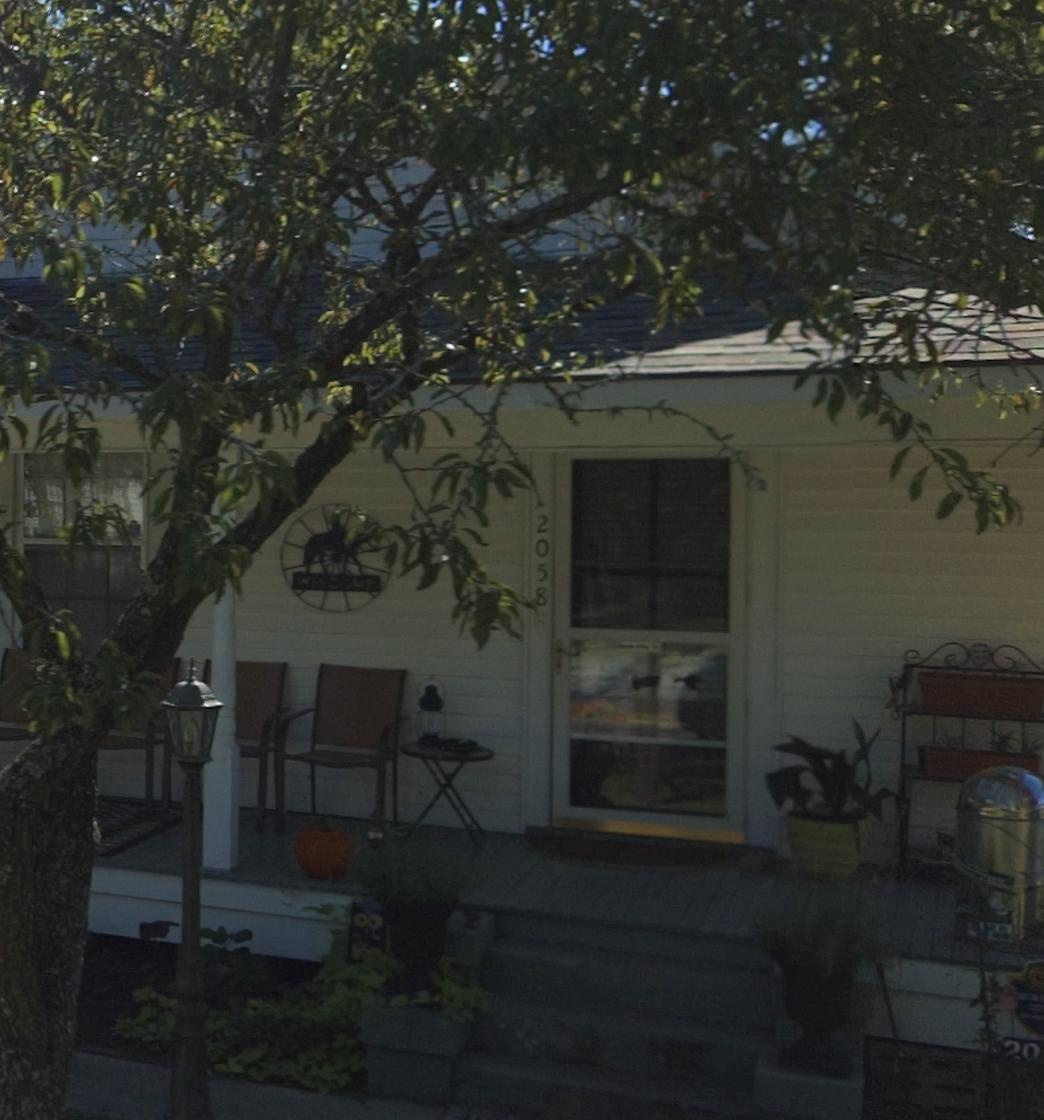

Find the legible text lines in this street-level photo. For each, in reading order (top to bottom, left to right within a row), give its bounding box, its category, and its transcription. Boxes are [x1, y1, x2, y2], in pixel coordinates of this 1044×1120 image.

[534, 513, 549, 608] StreetNumber: 2058
[293, 574, 377, 591] None: WELCOME
[1001, 1037, 1041, 1065] StreetNumber: *0